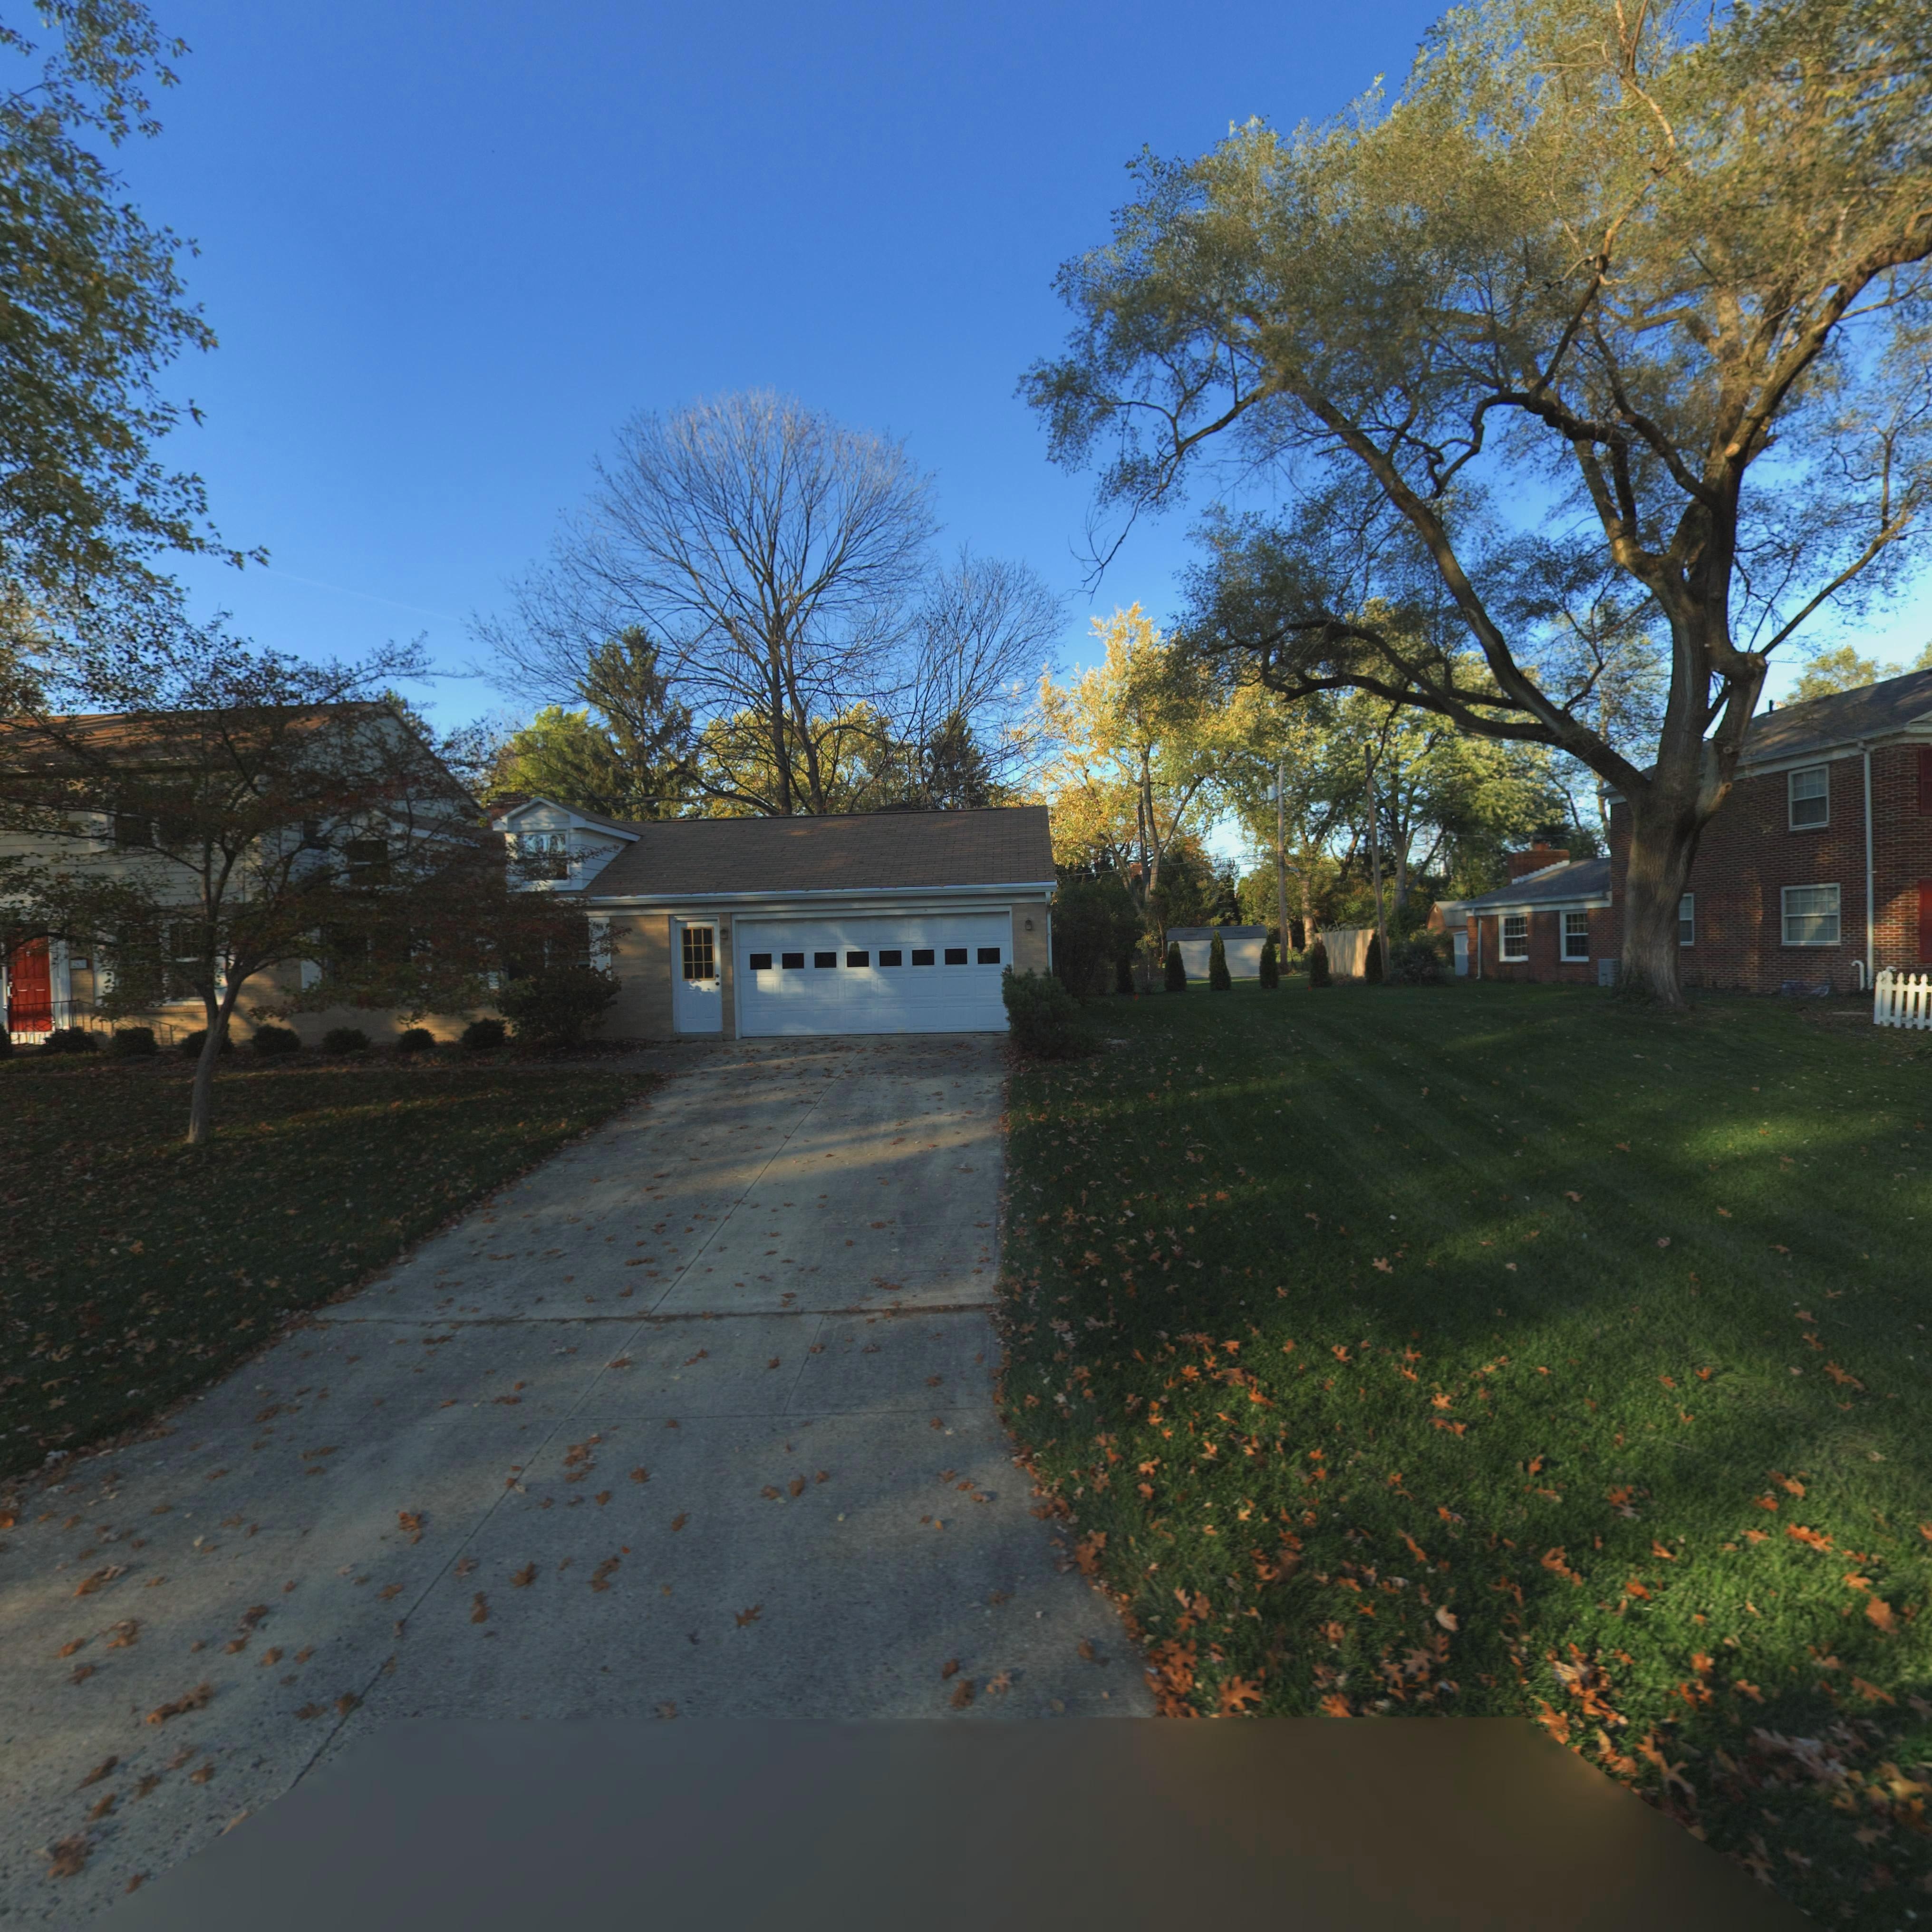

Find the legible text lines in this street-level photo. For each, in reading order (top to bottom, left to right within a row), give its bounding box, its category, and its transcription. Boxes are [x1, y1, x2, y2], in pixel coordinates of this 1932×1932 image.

[72, 961, 85, 967] StreetNumber: 2**